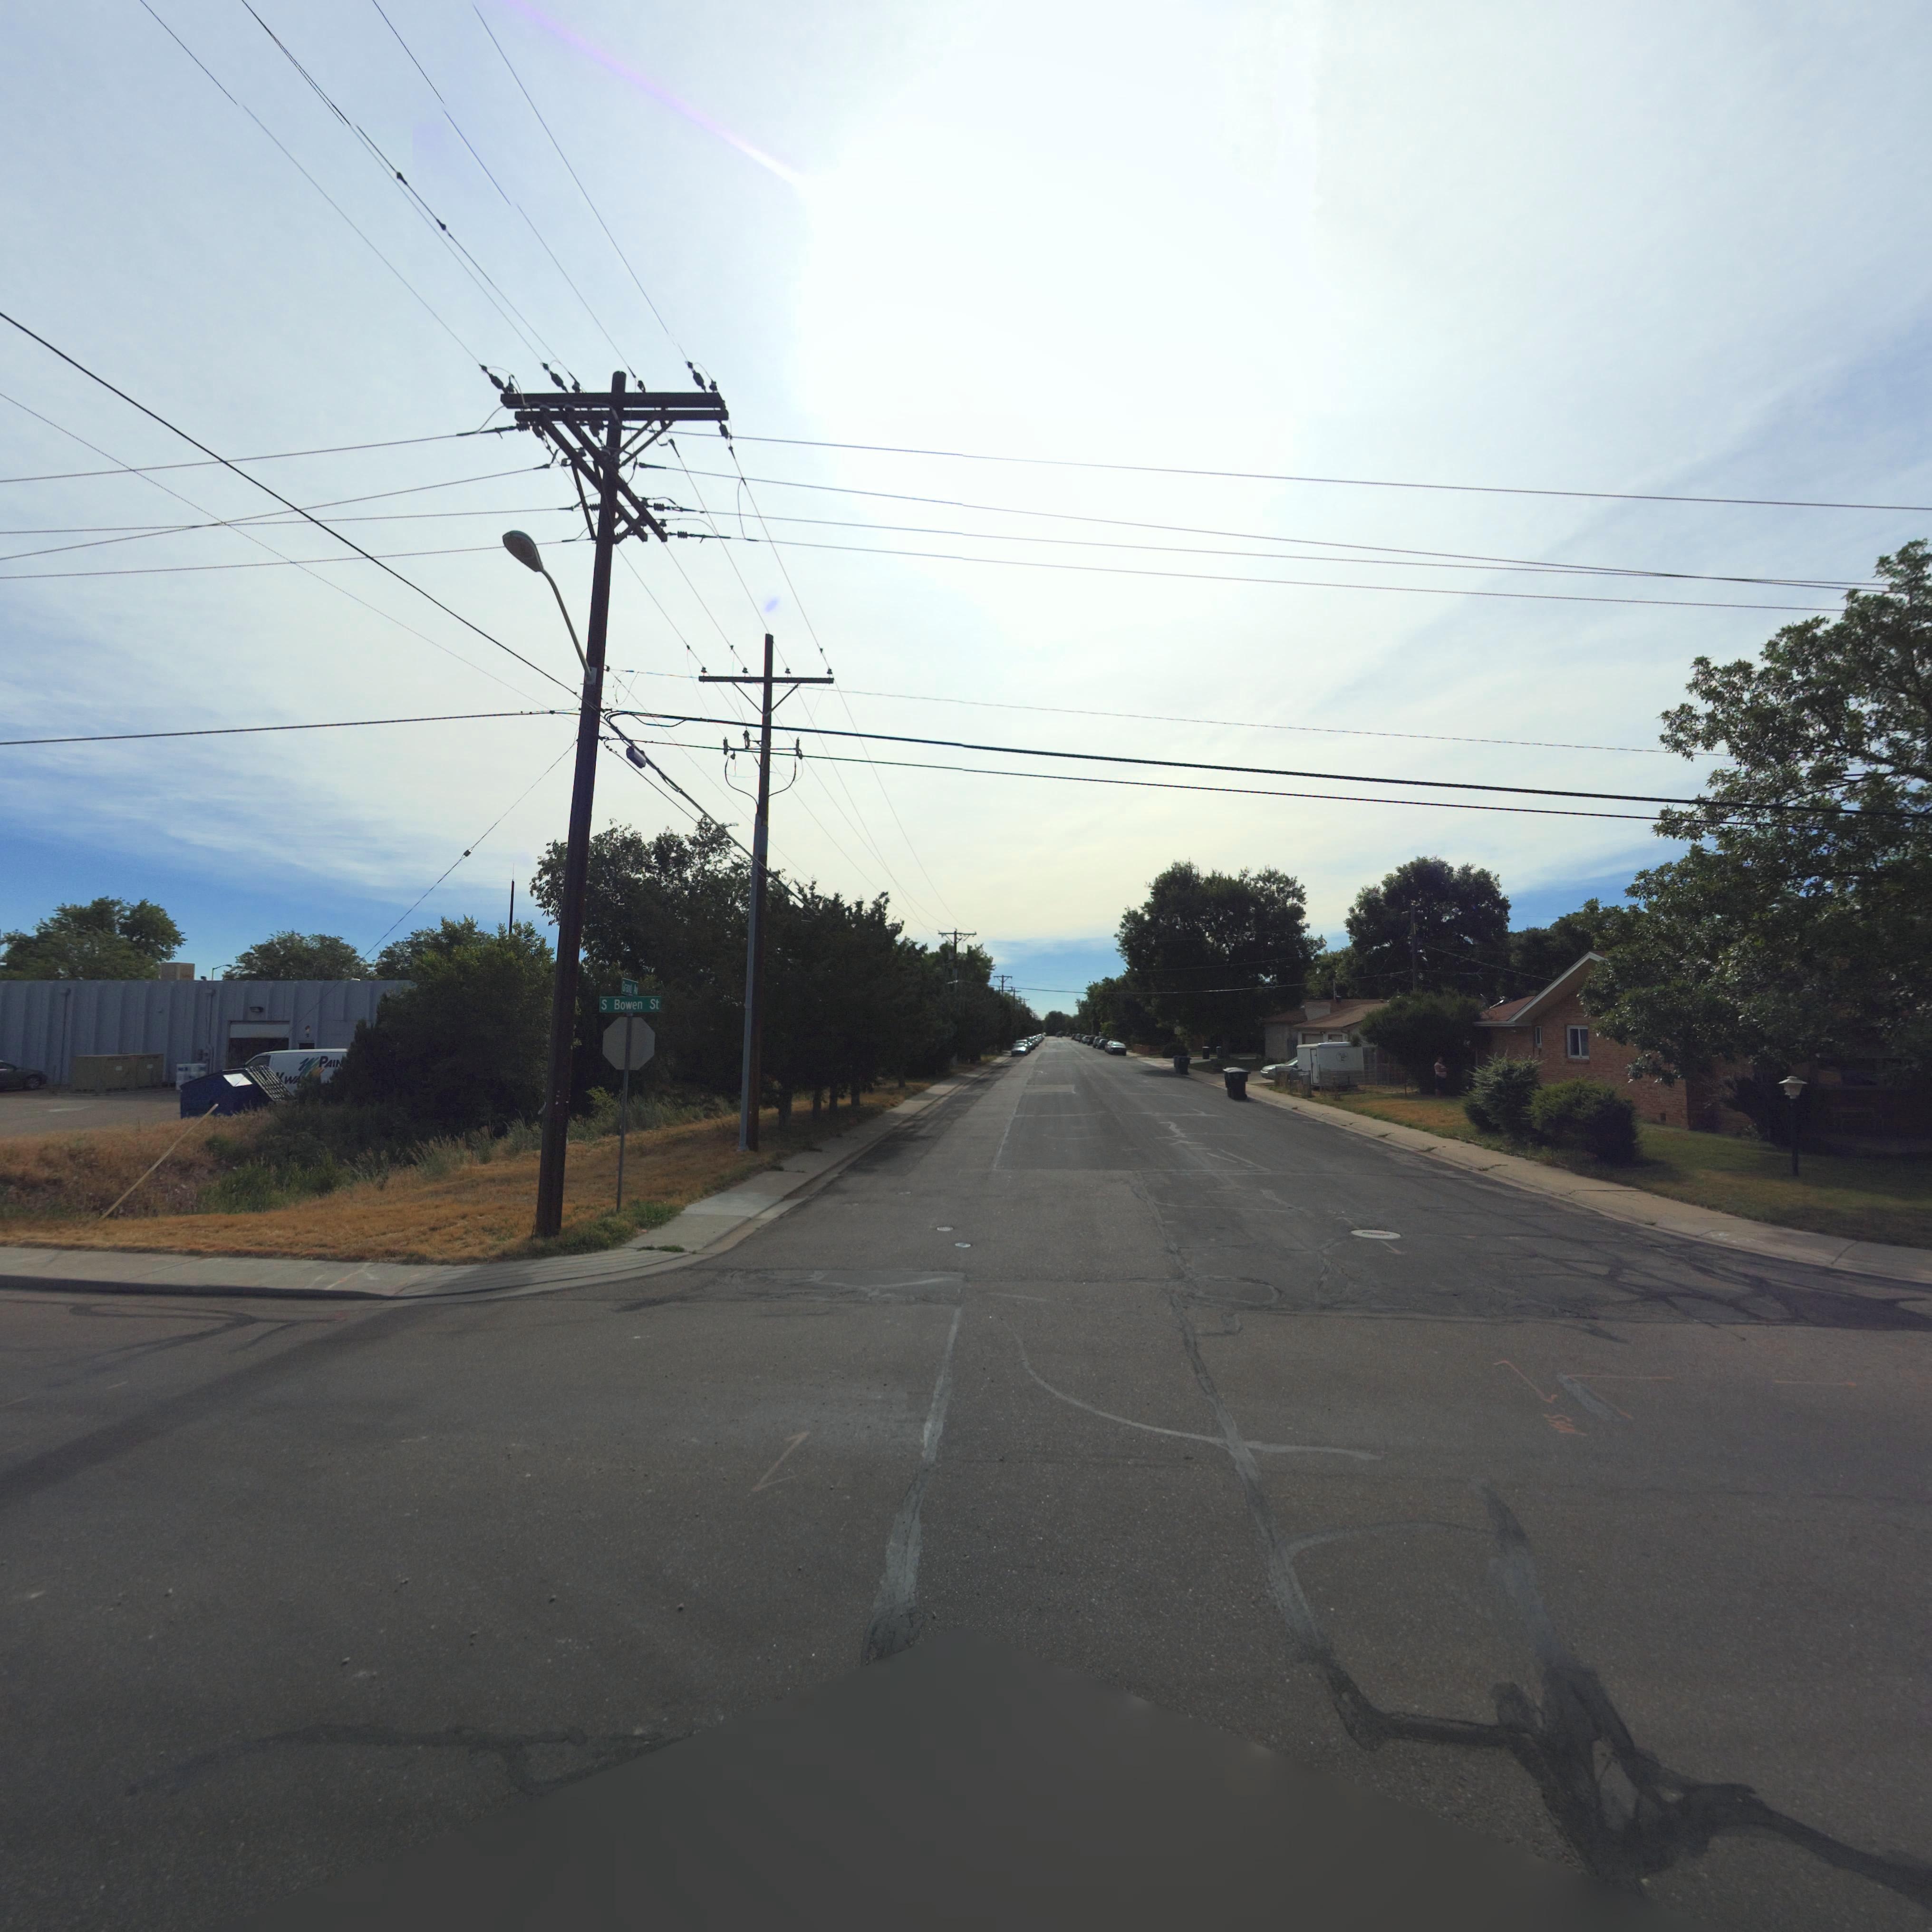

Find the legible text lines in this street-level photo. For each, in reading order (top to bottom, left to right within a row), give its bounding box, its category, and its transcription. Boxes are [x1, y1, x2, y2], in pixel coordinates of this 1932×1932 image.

[621, 980, 638, 995] StreetName: Grand Av
[601, 999, 658, 1009] StreetName: S Bowen St